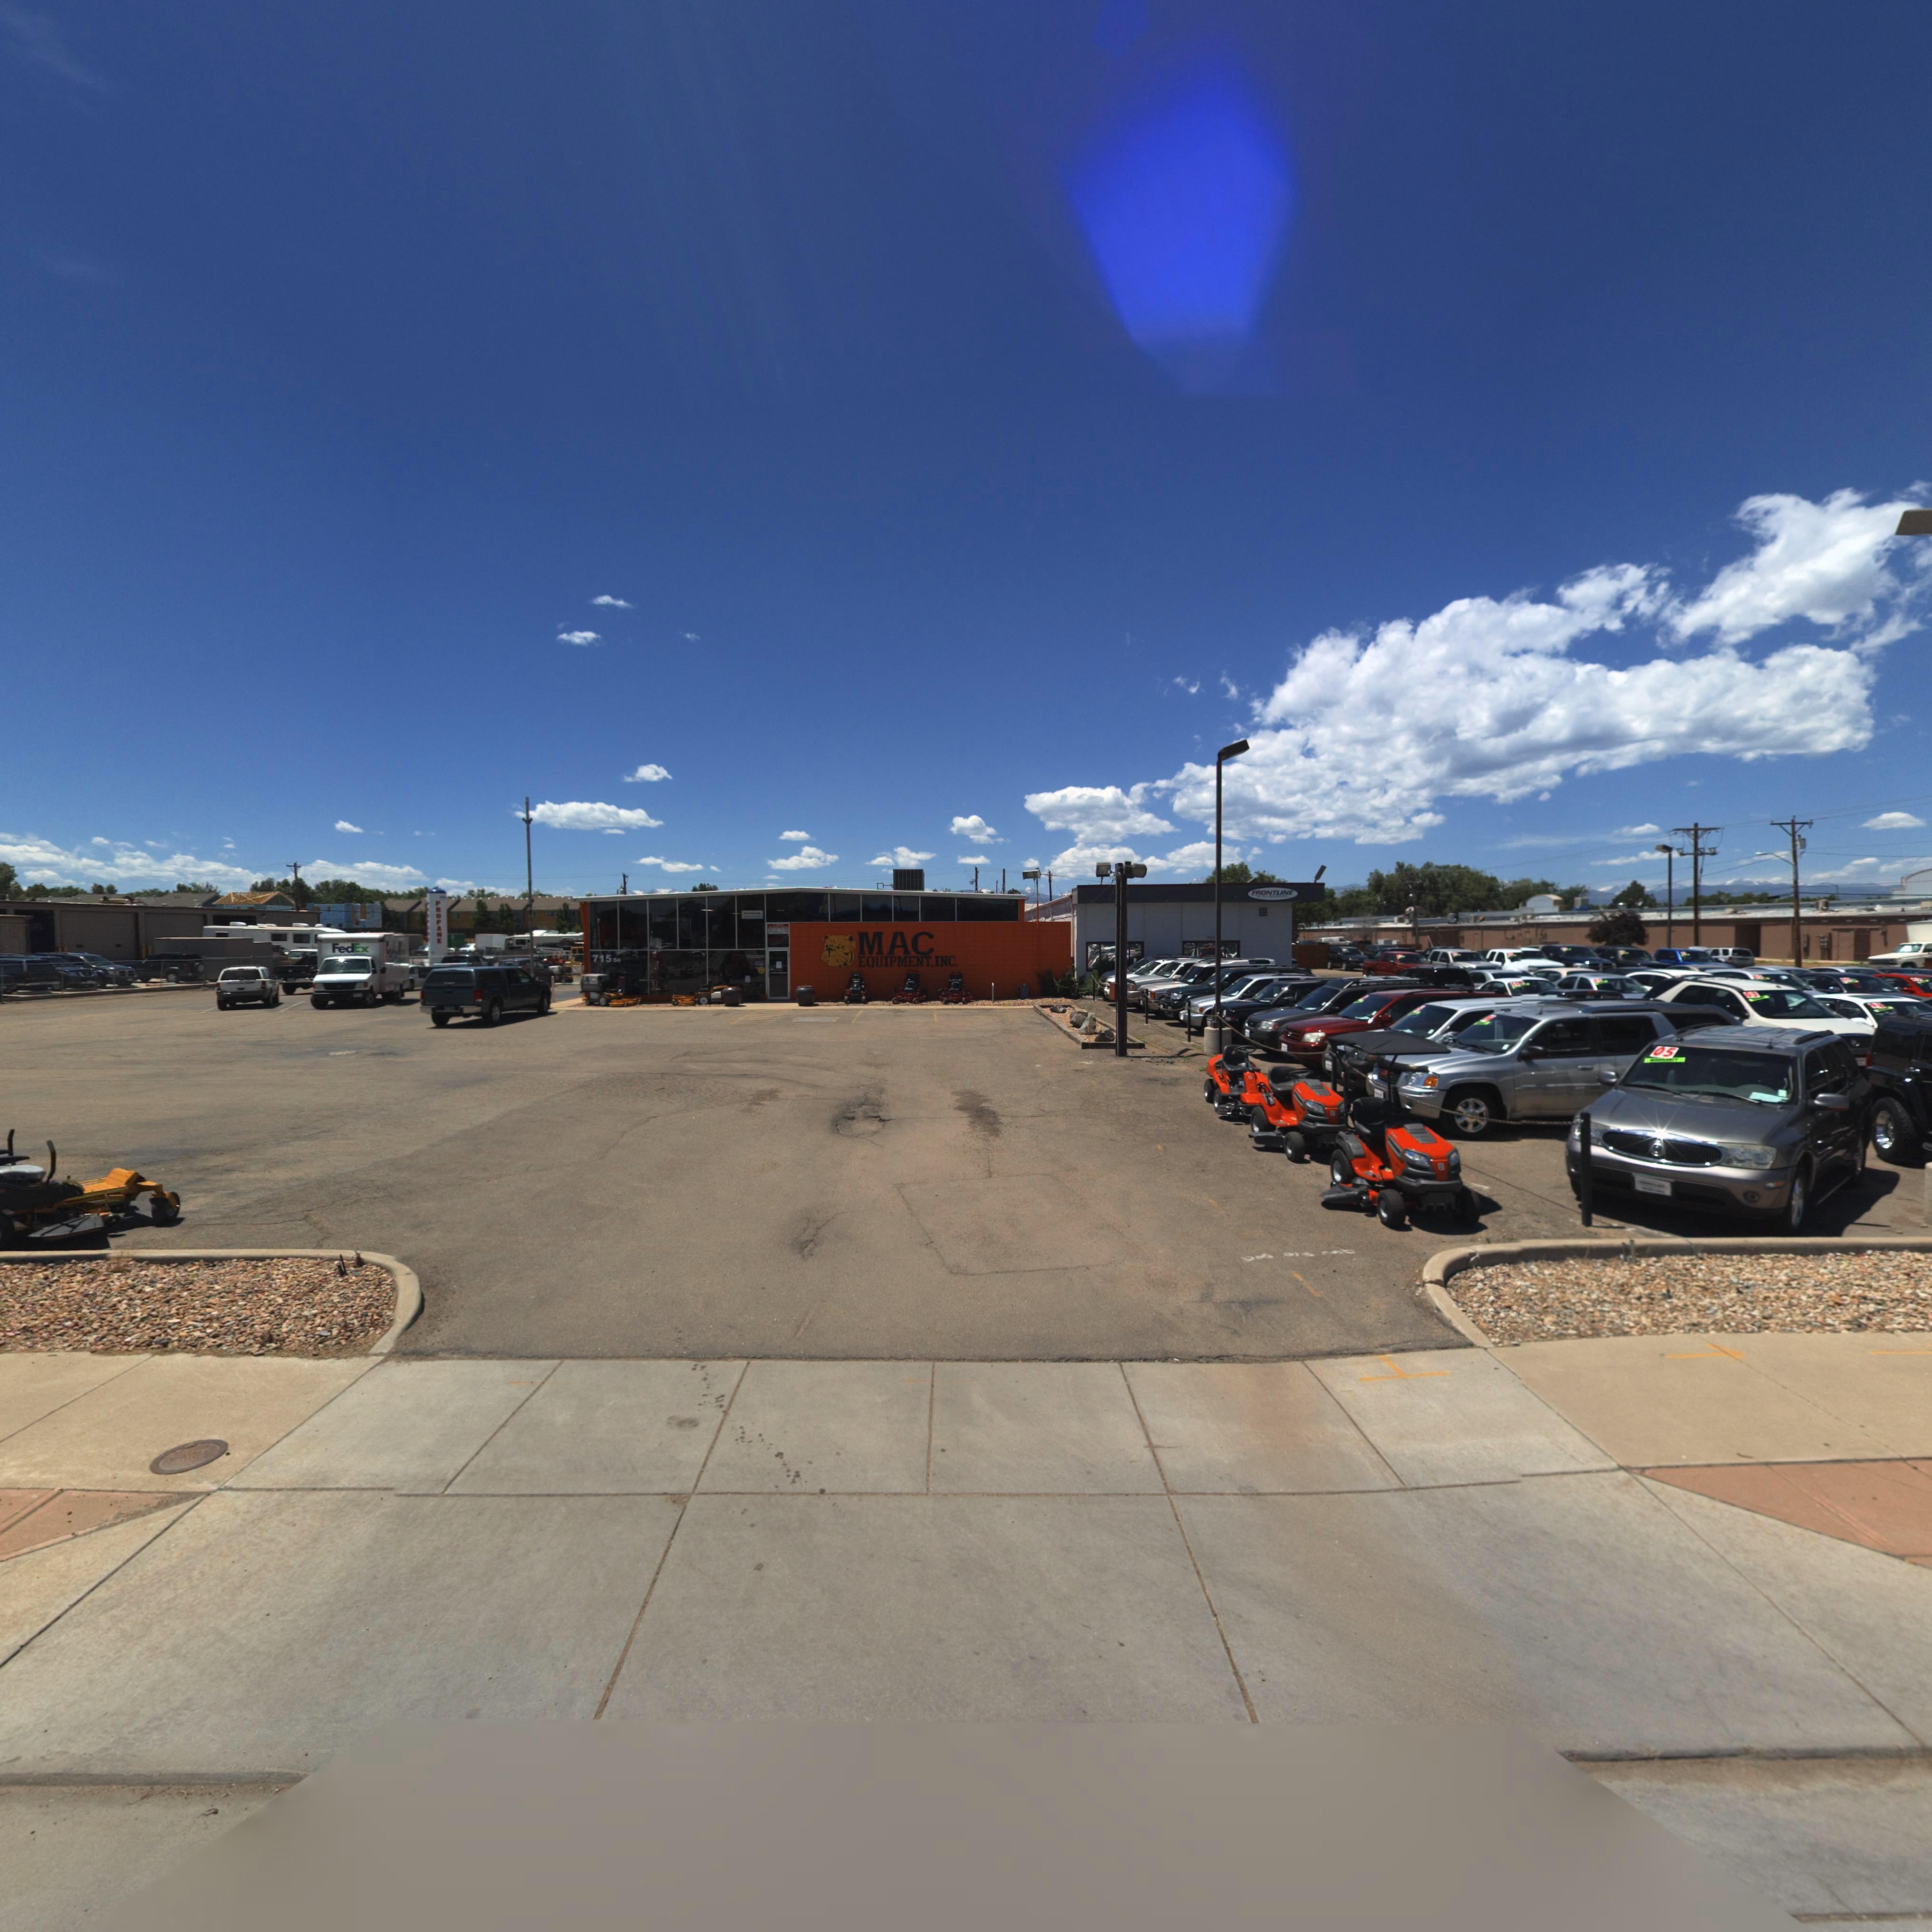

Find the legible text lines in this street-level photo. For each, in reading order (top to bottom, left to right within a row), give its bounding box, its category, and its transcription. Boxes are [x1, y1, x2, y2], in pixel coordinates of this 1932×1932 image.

[1251, 889, 1294, 896] BusinessName: FRONTLINE
[1206, 935, 1215, 940] StreetNumber: 701
[857, 932, 934, 955] BusinessName: MAC
[591, 954, 612, 963] StreetNumber: 715
[857, 955, 959, 967] BusinessName: EQUIPMENT* INC